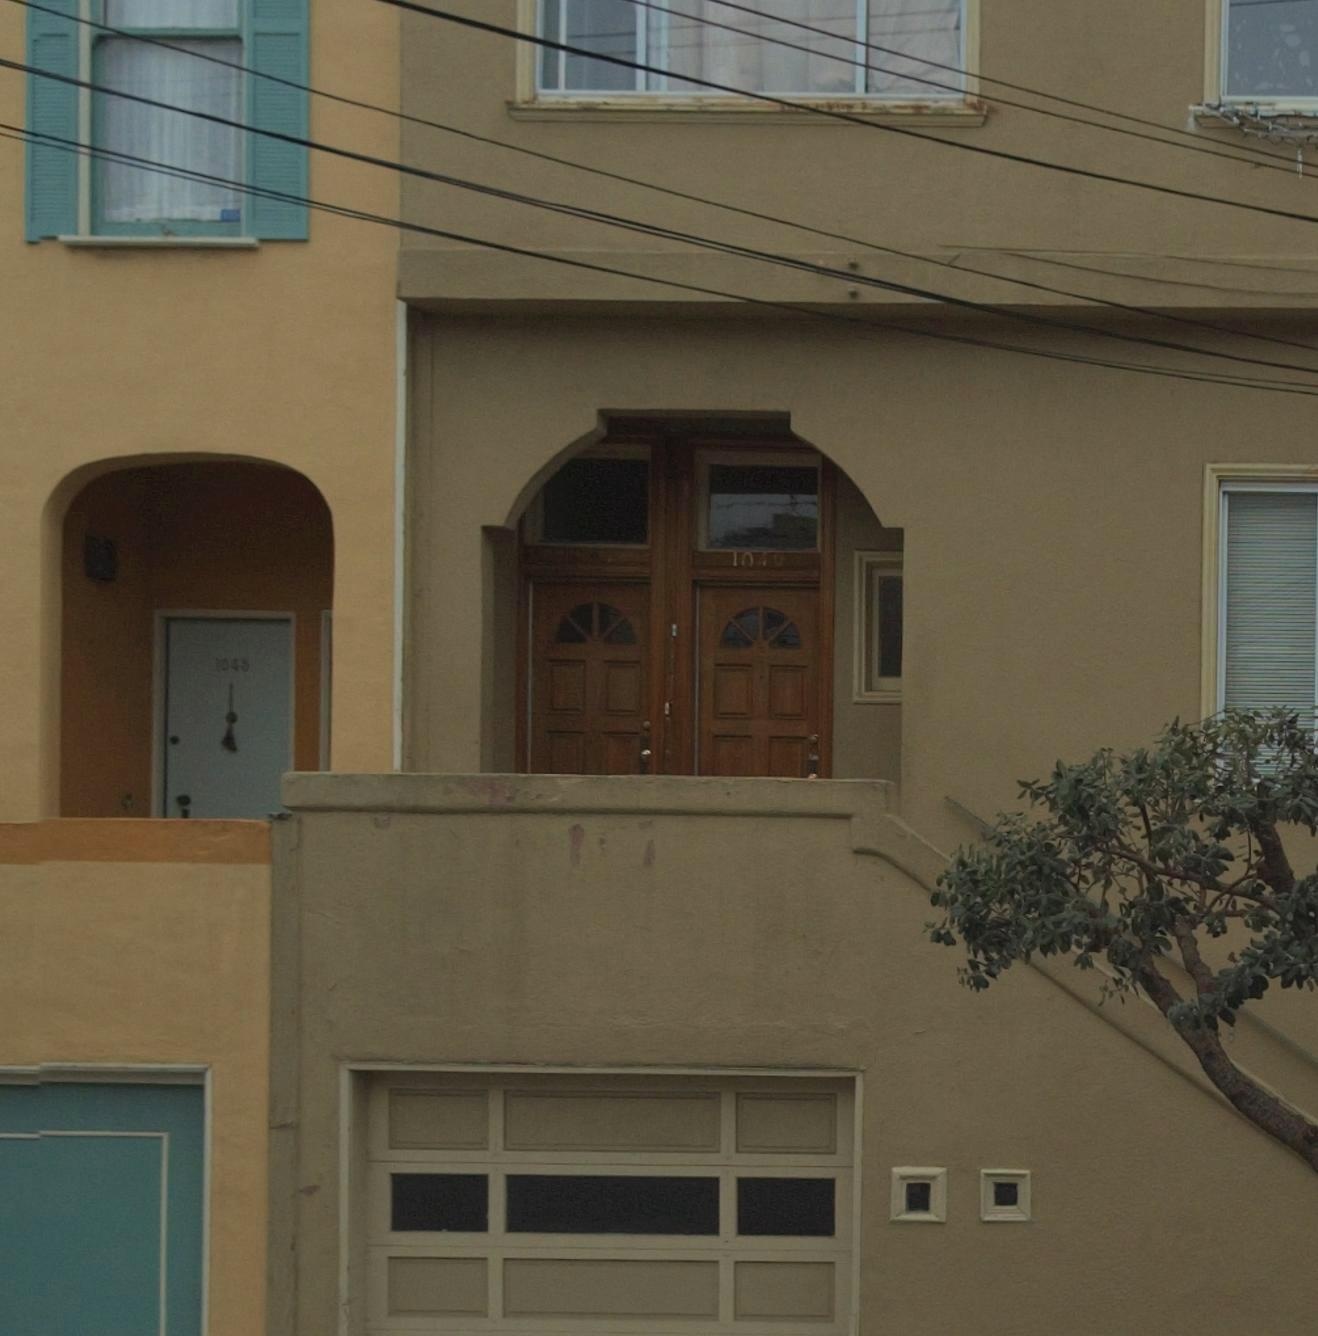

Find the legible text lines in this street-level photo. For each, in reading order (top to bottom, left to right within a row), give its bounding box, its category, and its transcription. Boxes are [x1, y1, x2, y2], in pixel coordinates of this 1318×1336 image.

[730, 549, 788, 570] StreetNumber: 104*
[214, 655, 251, 674] StreetNumber: 1045